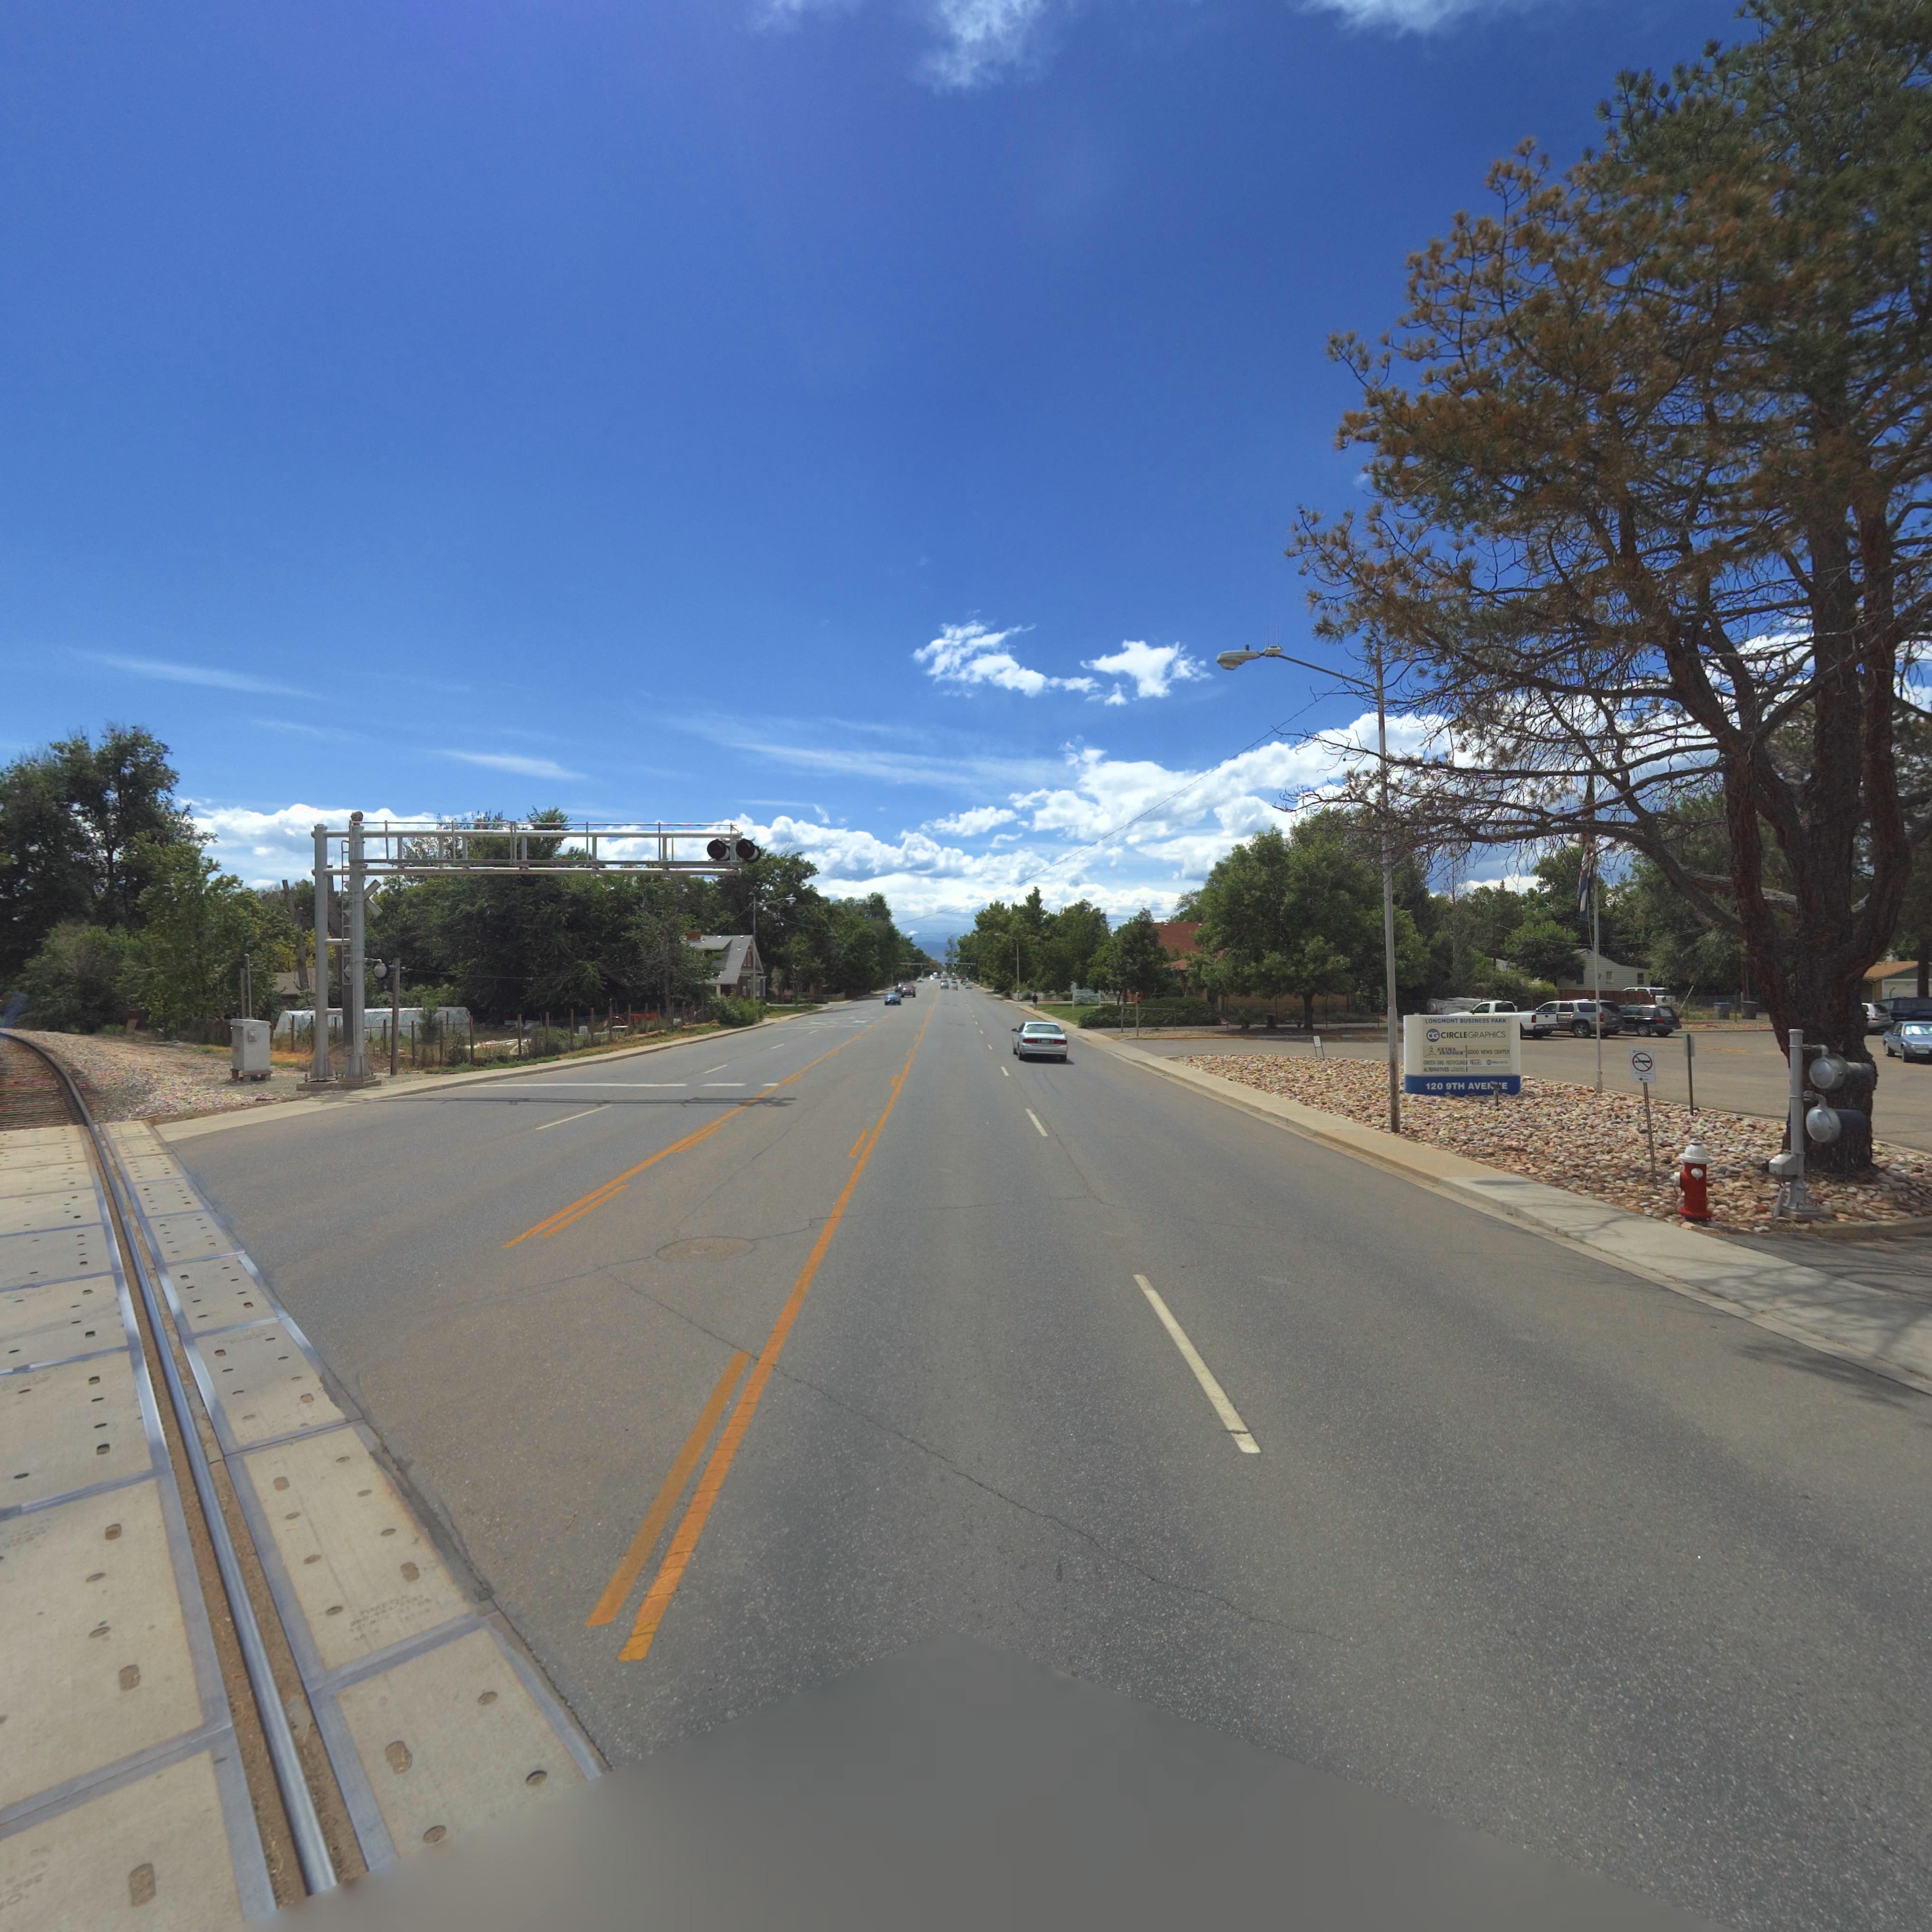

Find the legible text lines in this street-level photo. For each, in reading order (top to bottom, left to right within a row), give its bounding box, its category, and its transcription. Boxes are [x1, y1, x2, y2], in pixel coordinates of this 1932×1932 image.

[1076, 989, 1092, 995] BusinessName: TRINI*
[1440, 1030, 1506, 1038] BusinessName: CIRCLEGRAPHICS
[1438, 1047, 1456, 1051] BusinessName: EXTRA
[1439, 1050, 1463, 1055] BusinessName: INNINGS
[1467, 1049, 1510, 1054] BusinessName: GOOD NEWS CENTER
[1423, 1060, 1465, 1064] BusinessName: GREEN *** RECYCLING 
[1425, 1082, 1443, 1090] StreetNumber: 120
[1445, 1082, 1507, 1090] StreetName: 9TH AVE**E